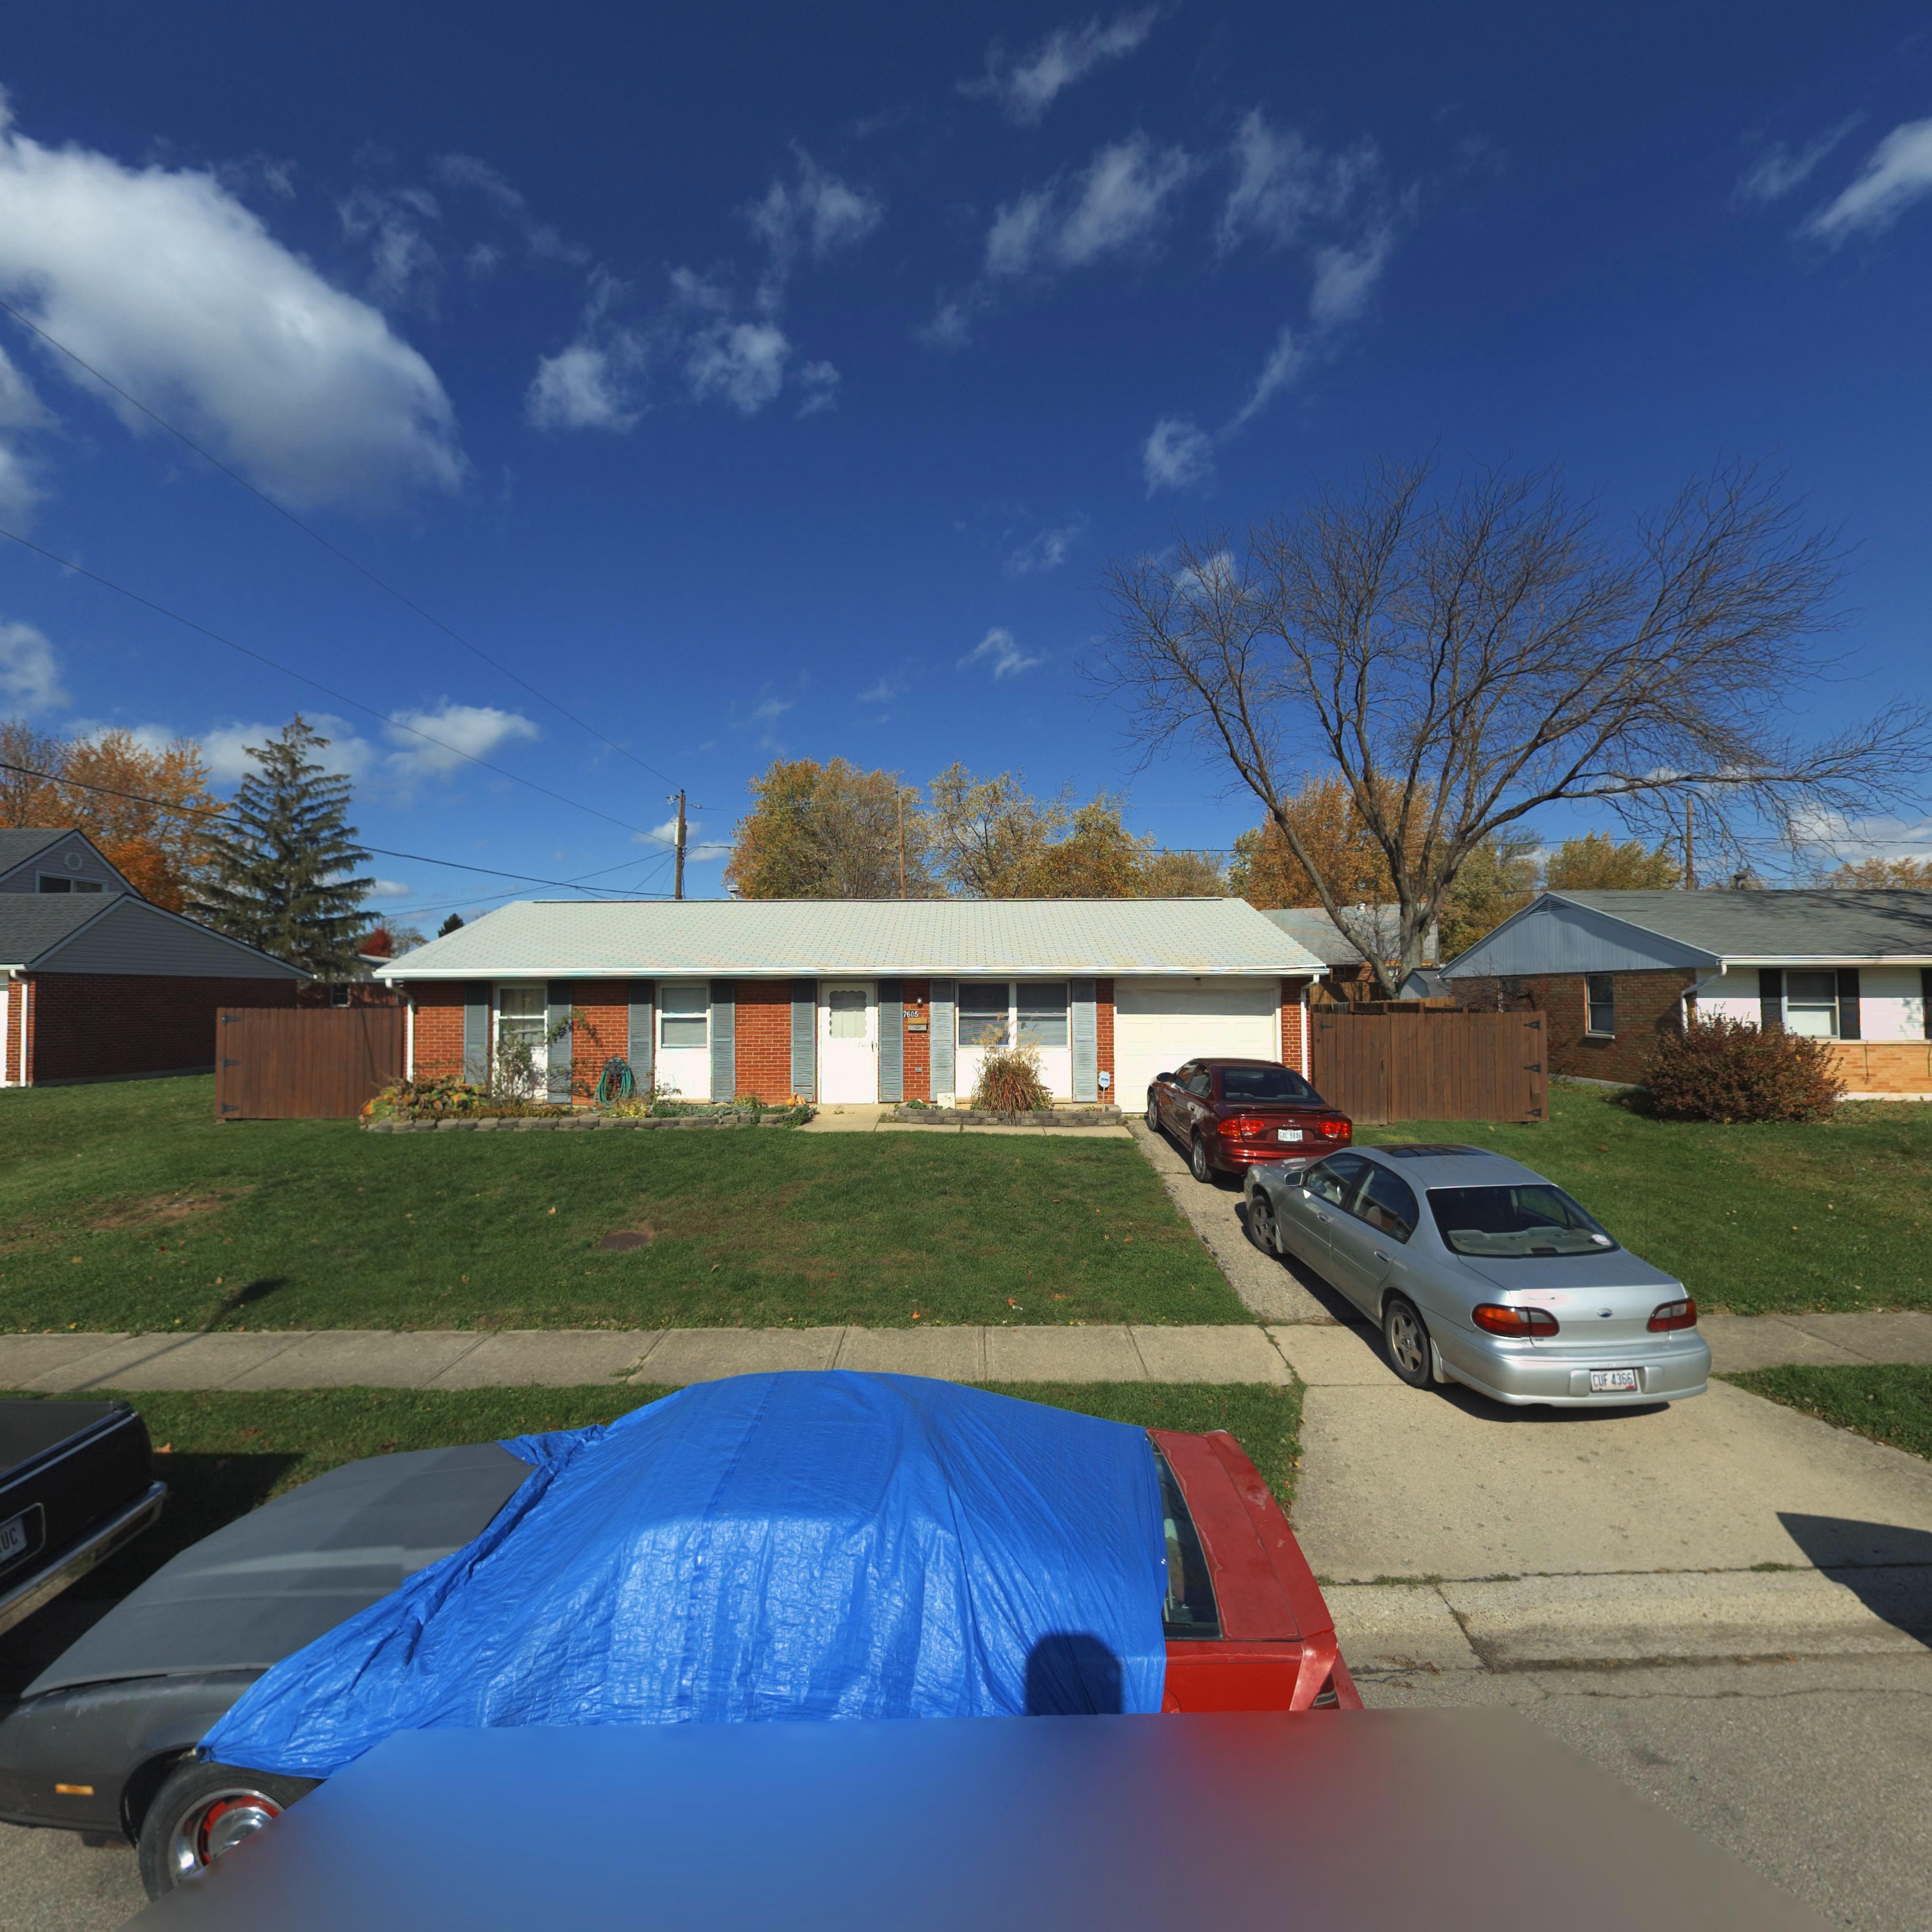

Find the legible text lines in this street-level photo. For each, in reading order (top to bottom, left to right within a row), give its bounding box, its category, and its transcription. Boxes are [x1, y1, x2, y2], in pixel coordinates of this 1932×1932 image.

[903, 1010, 918, 1018] StreetNumber: 7605
[857, 1042, 871, 1047] StreetNumber: 7605